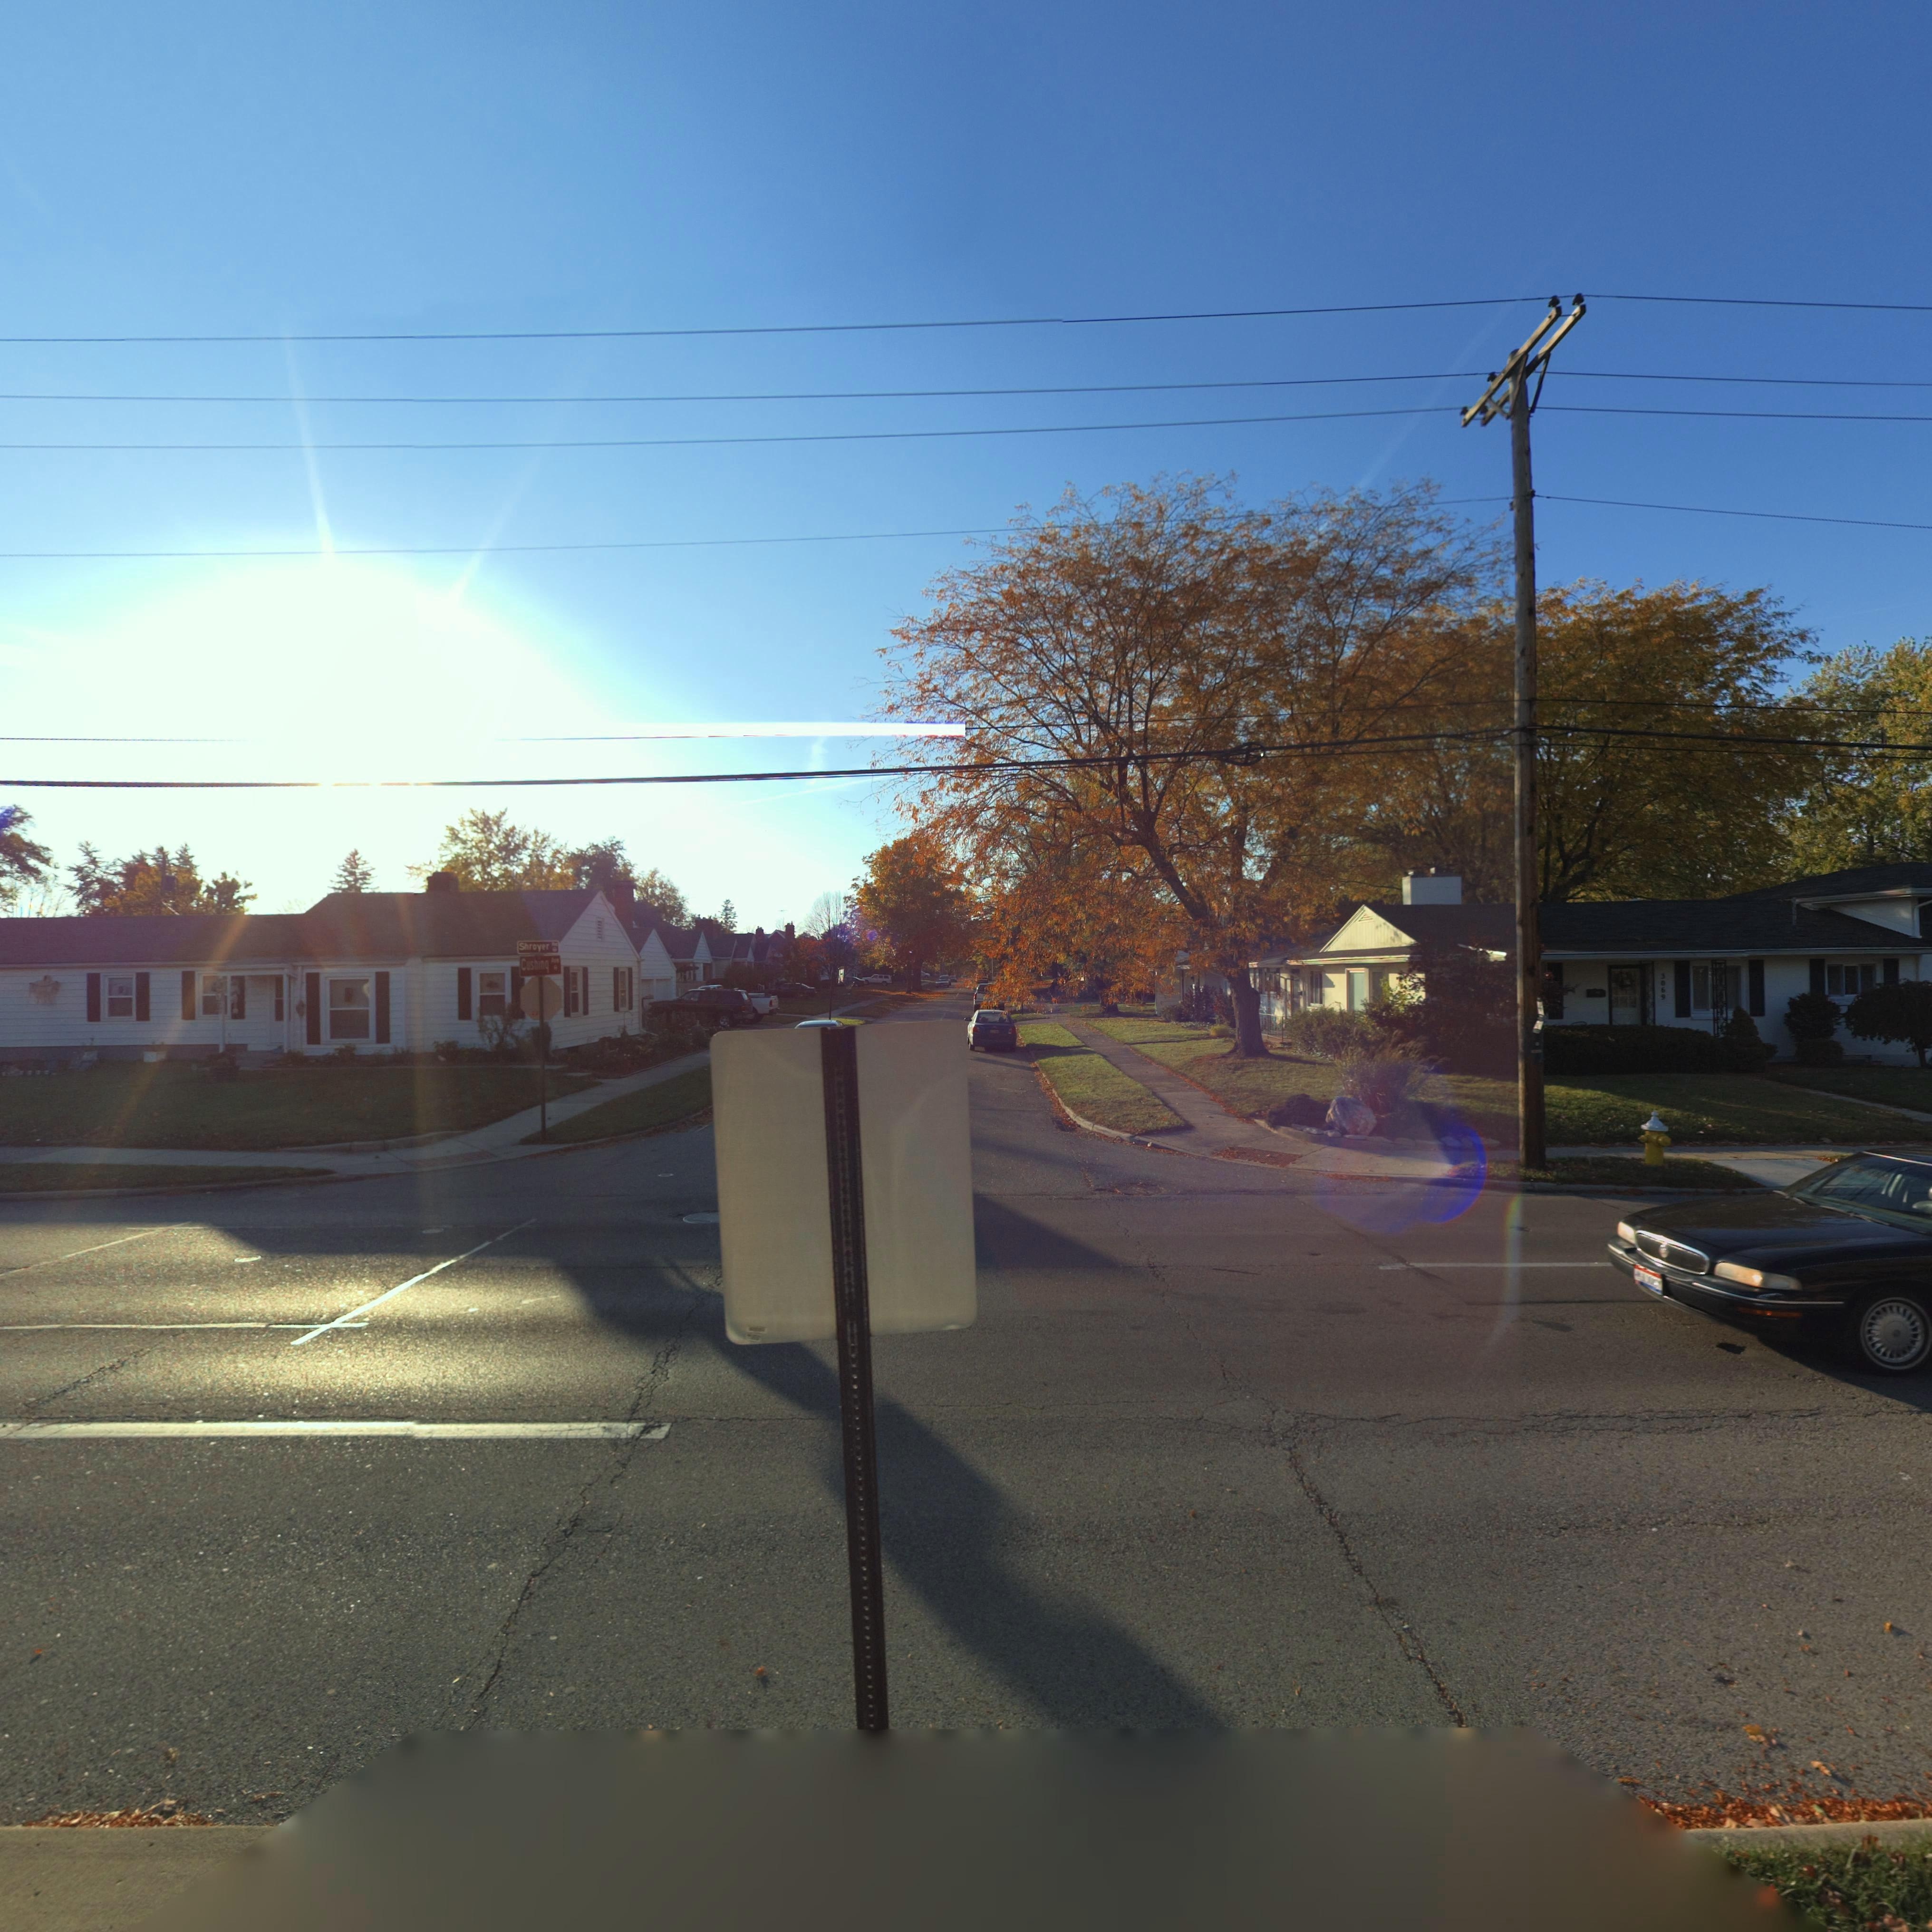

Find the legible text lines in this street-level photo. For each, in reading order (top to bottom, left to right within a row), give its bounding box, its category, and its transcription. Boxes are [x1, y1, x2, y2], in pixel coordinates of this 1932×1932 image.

[518, 942, 551, 953] StreetName: Shroyer
[520, 957, 550, 975] StreetName: Cushing
[1660, 972, 1666, 1001] StreetNumber: 3069